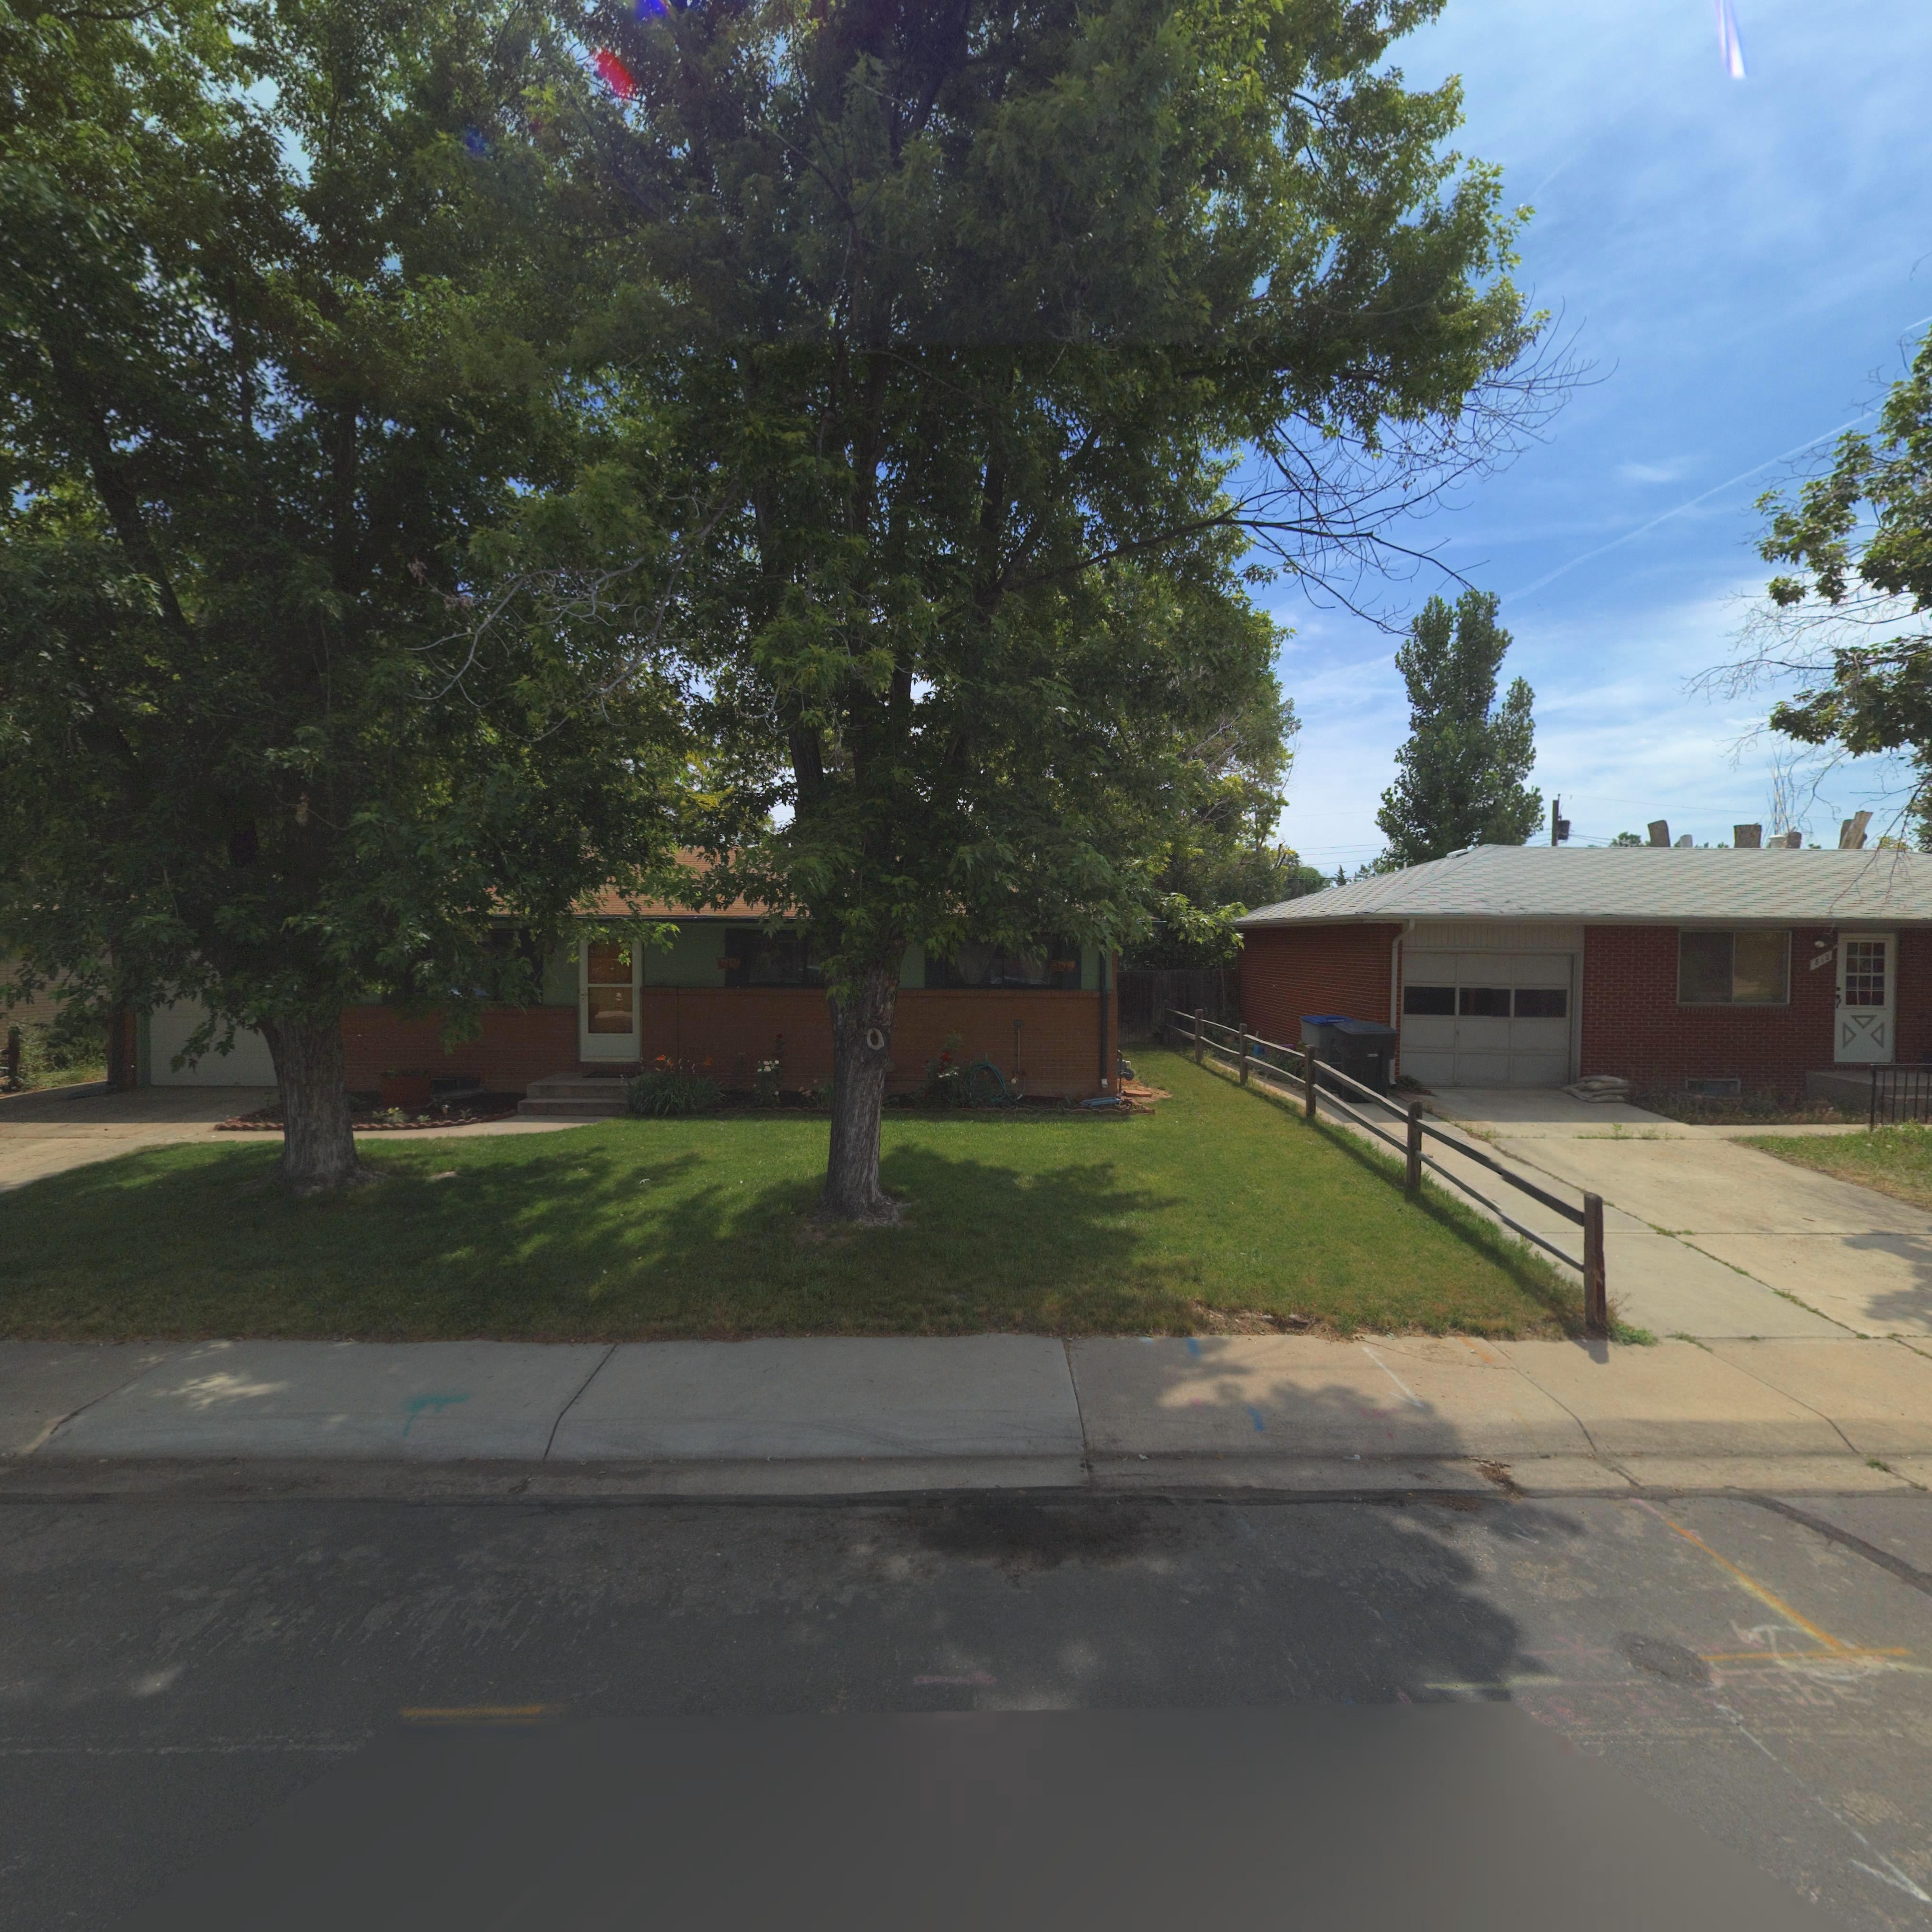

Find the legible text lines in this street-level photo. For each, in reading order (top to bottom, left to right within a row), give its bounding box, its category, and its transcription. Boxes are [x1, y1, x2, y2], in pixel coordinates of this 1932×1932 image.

[1814, 953, 1829, 966] StreetNumber: 812